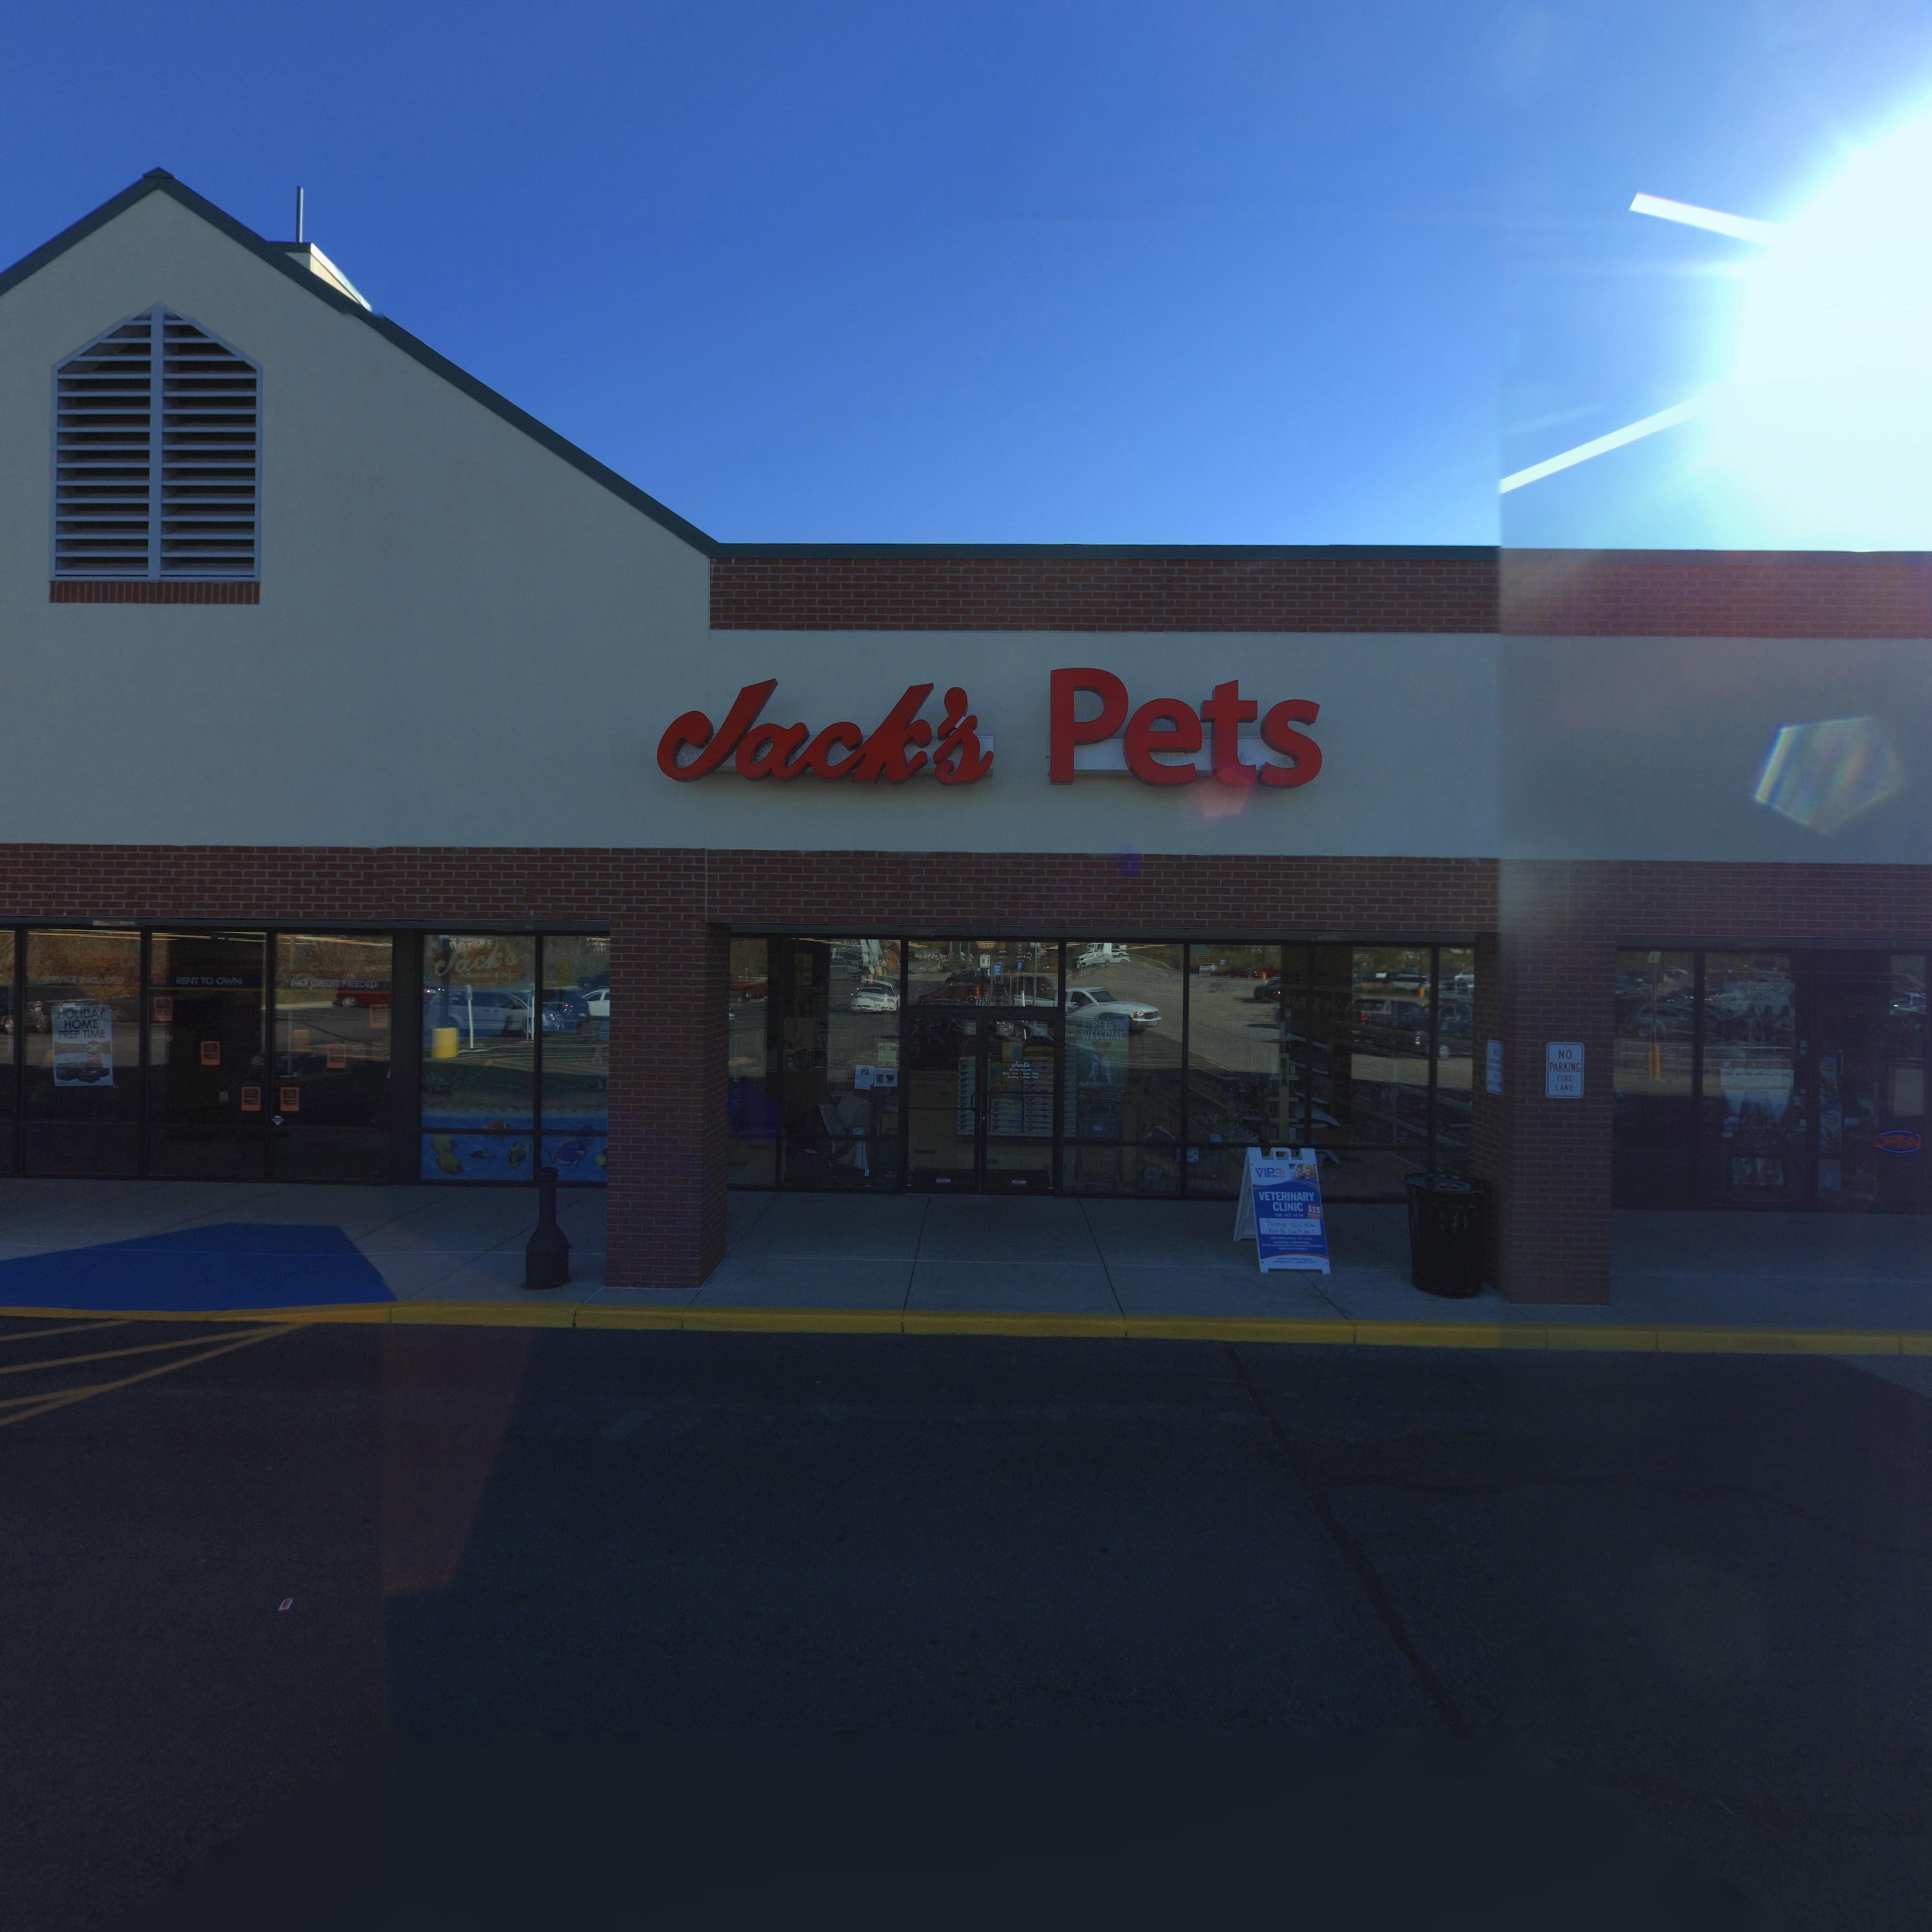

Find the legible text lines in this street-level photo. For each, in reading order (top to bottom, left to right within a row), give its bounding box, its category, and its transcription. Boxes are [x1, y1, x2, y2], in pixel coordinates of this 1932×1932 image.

[652, 664, 1325, 792] BusinessName: Jack's Pets
[433, 941, 521, 978] BusinessName: Jack's
[976, 998, 991, 1006] StreetNumber: 7750
[1092, 1020, 1114, 1030] None: PETS
[1080, 1030, 1125, 1041] None: WELCOME
[1257, 1190, 1316, 1202] None: \